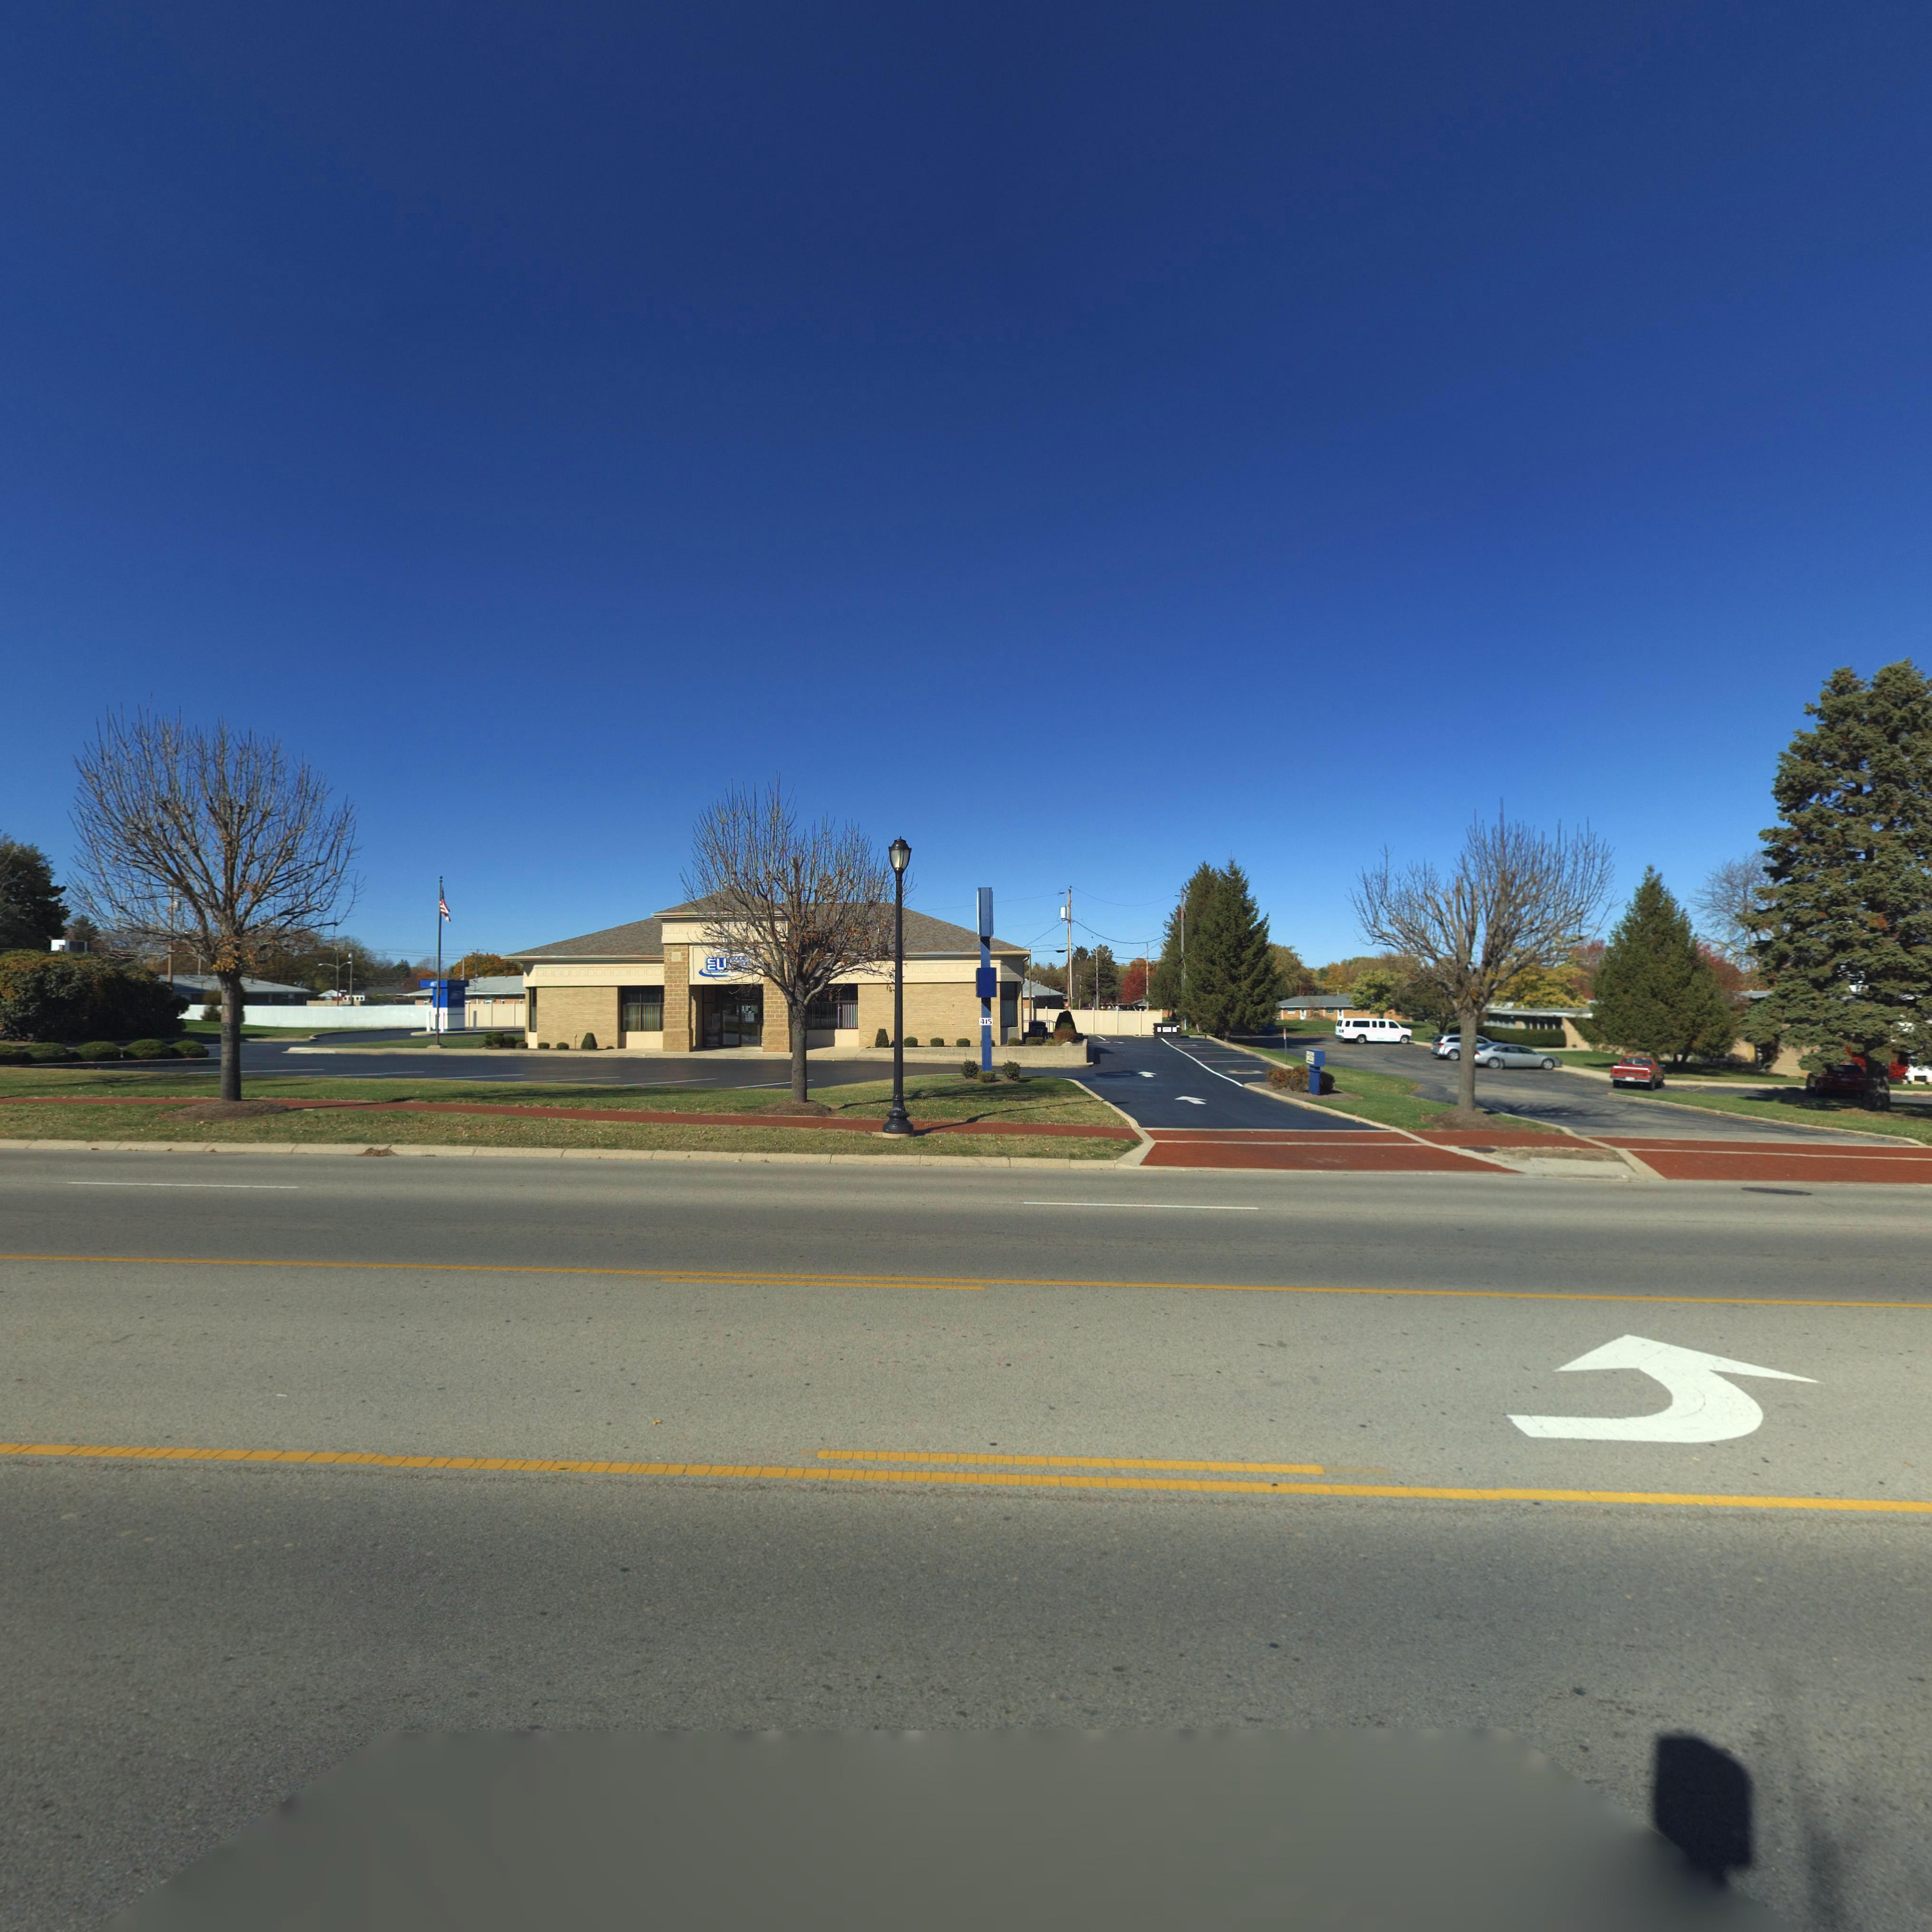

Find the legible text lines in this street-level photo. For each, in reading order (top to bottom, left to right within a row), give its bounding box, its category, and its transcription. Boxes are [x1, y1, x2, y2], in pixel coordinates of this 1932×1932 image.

[734, 955, 747, 961] BusinessName: ODE
[979, 1018, 993, 1025] StreetNumber: 415